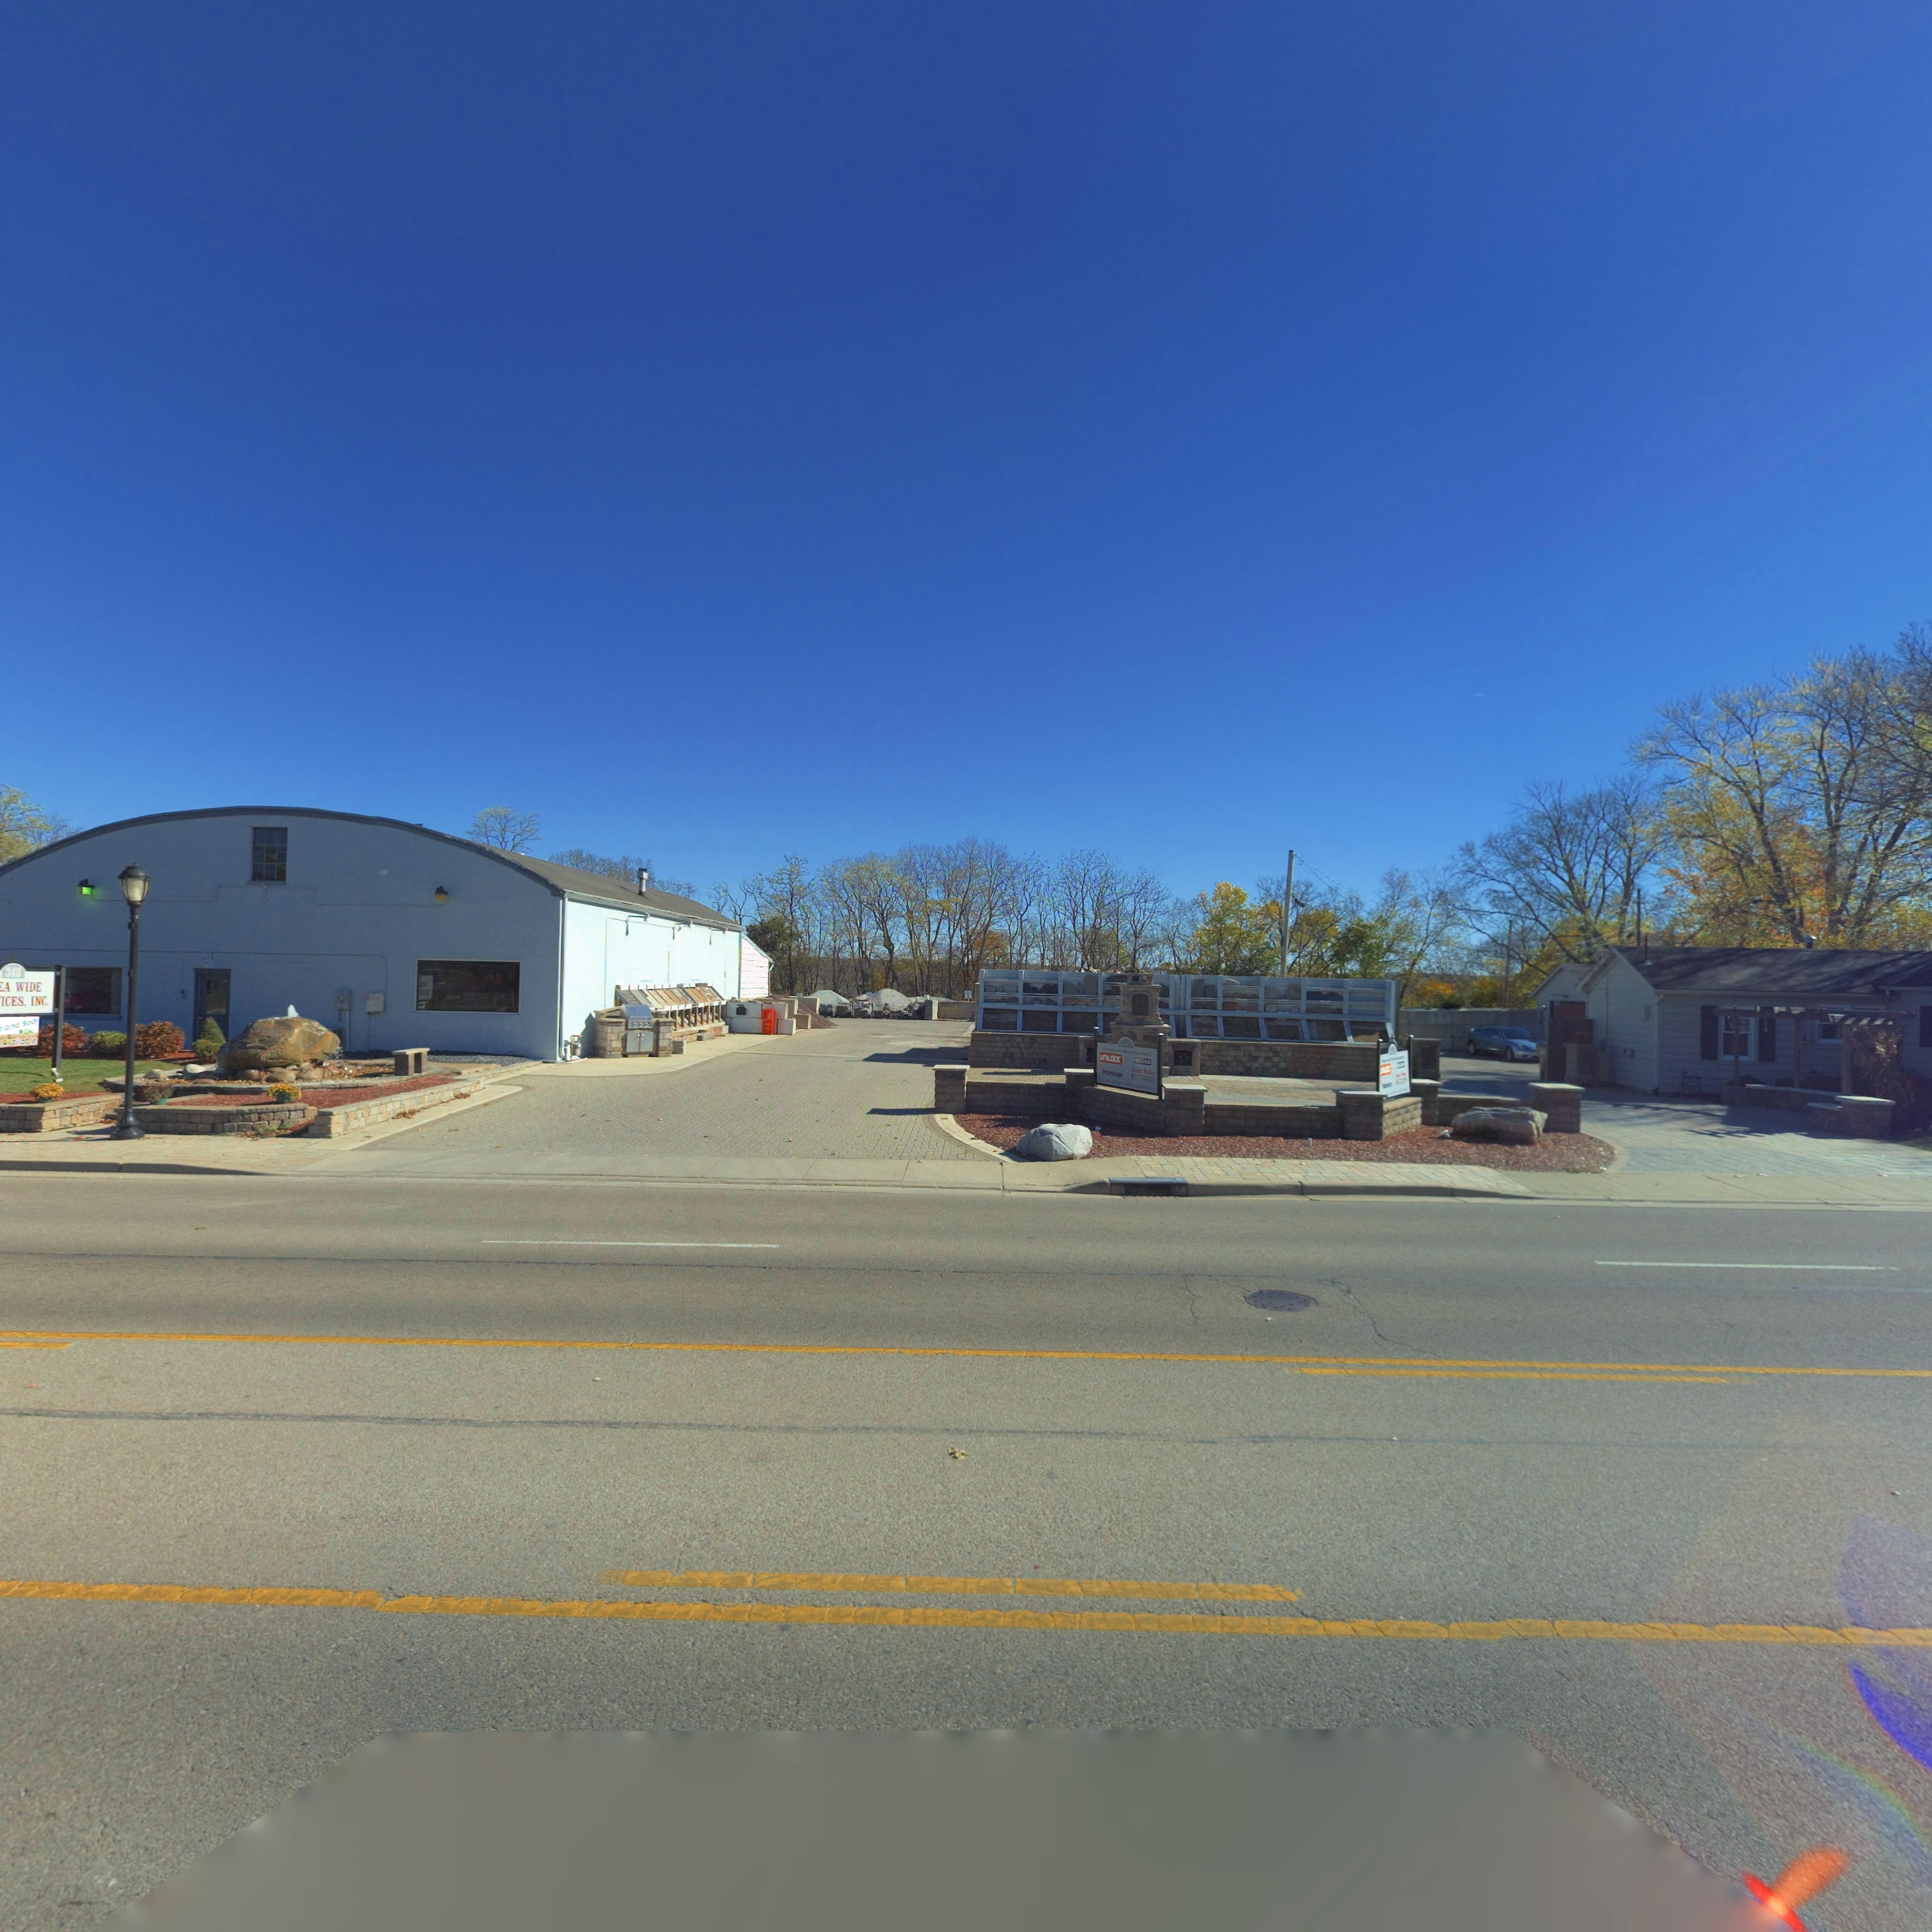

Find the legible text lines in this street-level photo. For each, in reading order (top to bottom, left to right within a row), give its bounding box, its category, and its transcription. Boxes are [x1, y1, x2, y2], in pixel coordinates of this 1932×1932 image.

[4, 966, 22, 978] StreetNumber: 340
[3, 981, 43, 993] BusinessName: A WIDE
[4, 995, 47, 1007] BusinessName: CES, INC
[3, 1017, 37, 1032] None: and Sod
[1099, 1053, 1121, 1064] None: UNILOCK
[1102, 1068, 1123, 1079] None: Hanson